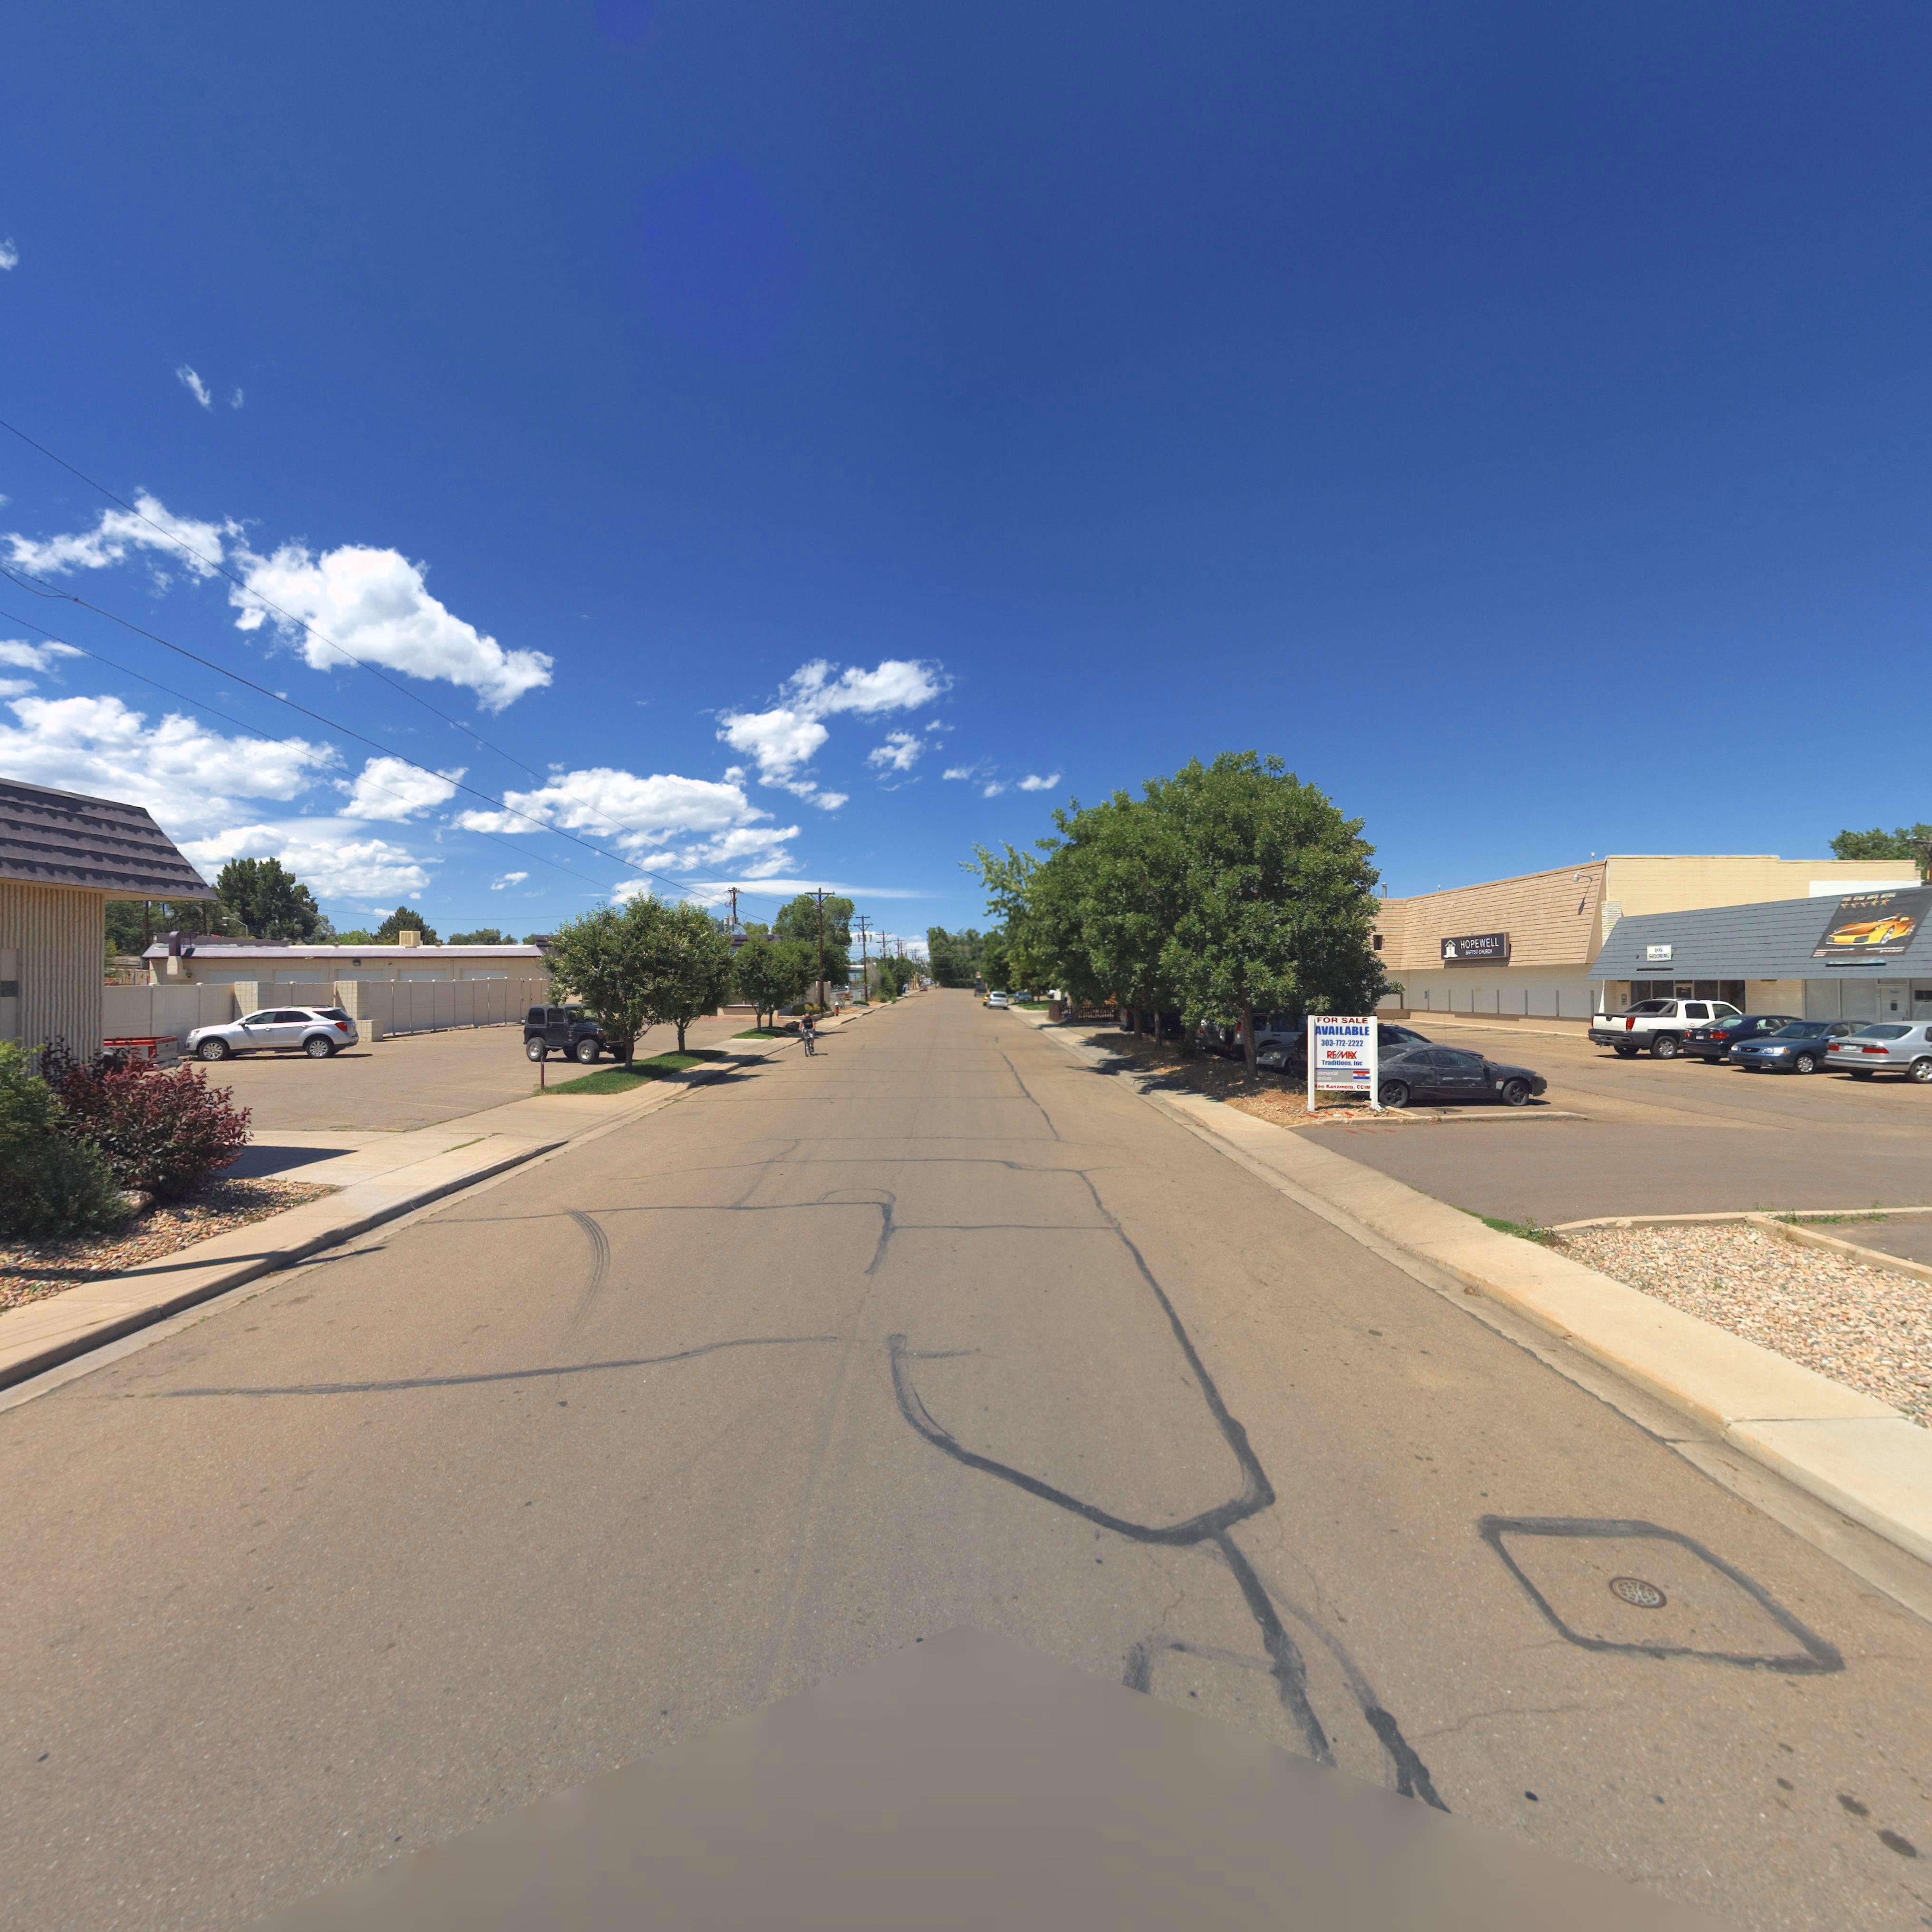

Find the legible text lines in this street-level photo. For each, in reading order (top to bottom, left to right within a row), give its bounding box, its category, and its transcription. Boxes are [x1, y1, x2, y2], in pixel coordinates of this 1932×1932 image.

[1460, 937, 1499, 949] BusinessName: HOPEWELL
[1465, 948, 1493, 955] BusinessName: B****S* C*U*CH
[1654, 947, 1662, 952] BusinessName: *OG